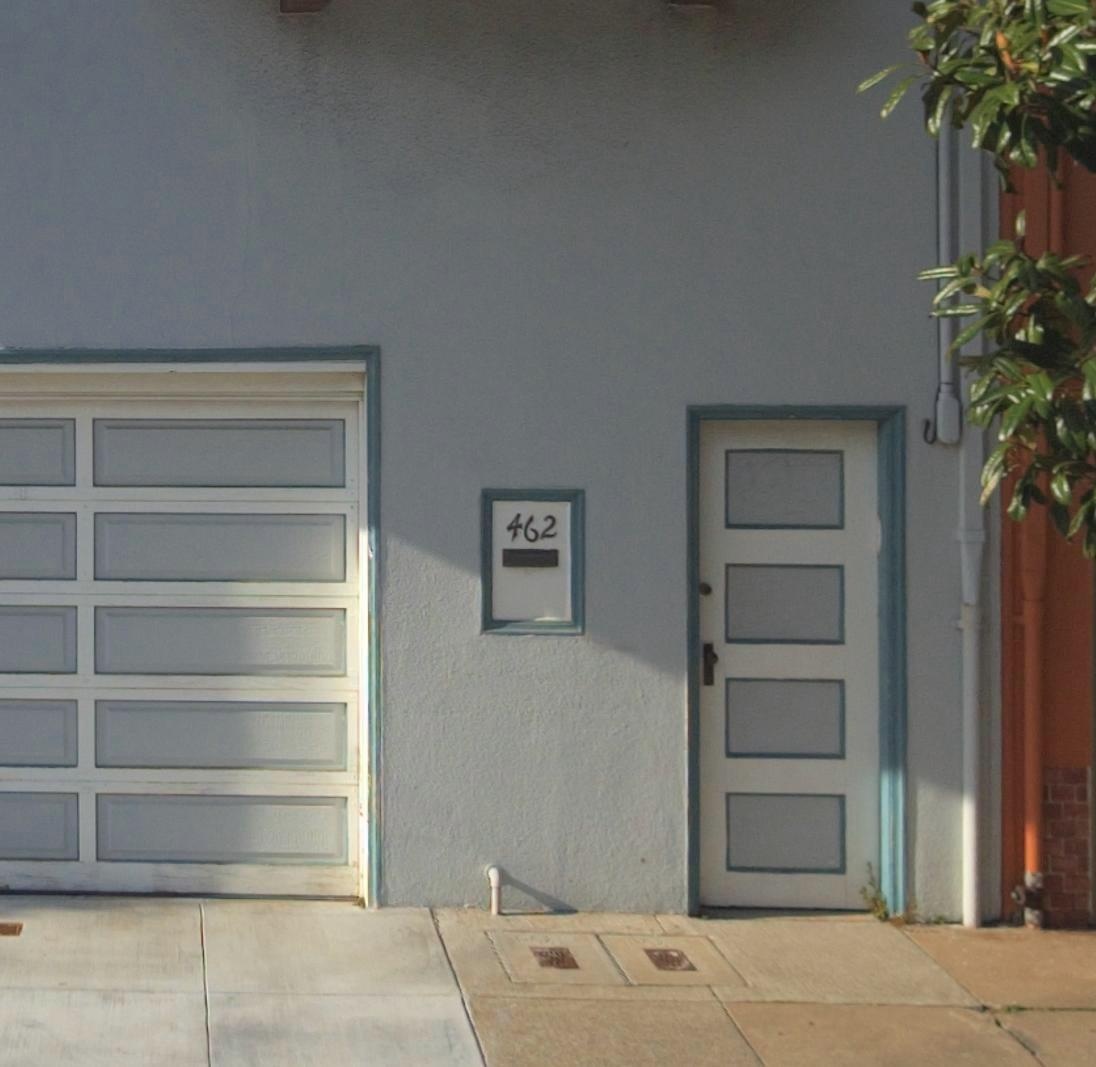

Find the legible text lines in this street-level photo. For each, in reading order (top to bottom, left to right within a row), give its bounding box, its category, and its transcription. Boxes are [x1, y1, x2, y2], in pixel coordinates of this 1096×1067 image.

[506, 511, 558, 542] StreetNumber: 462